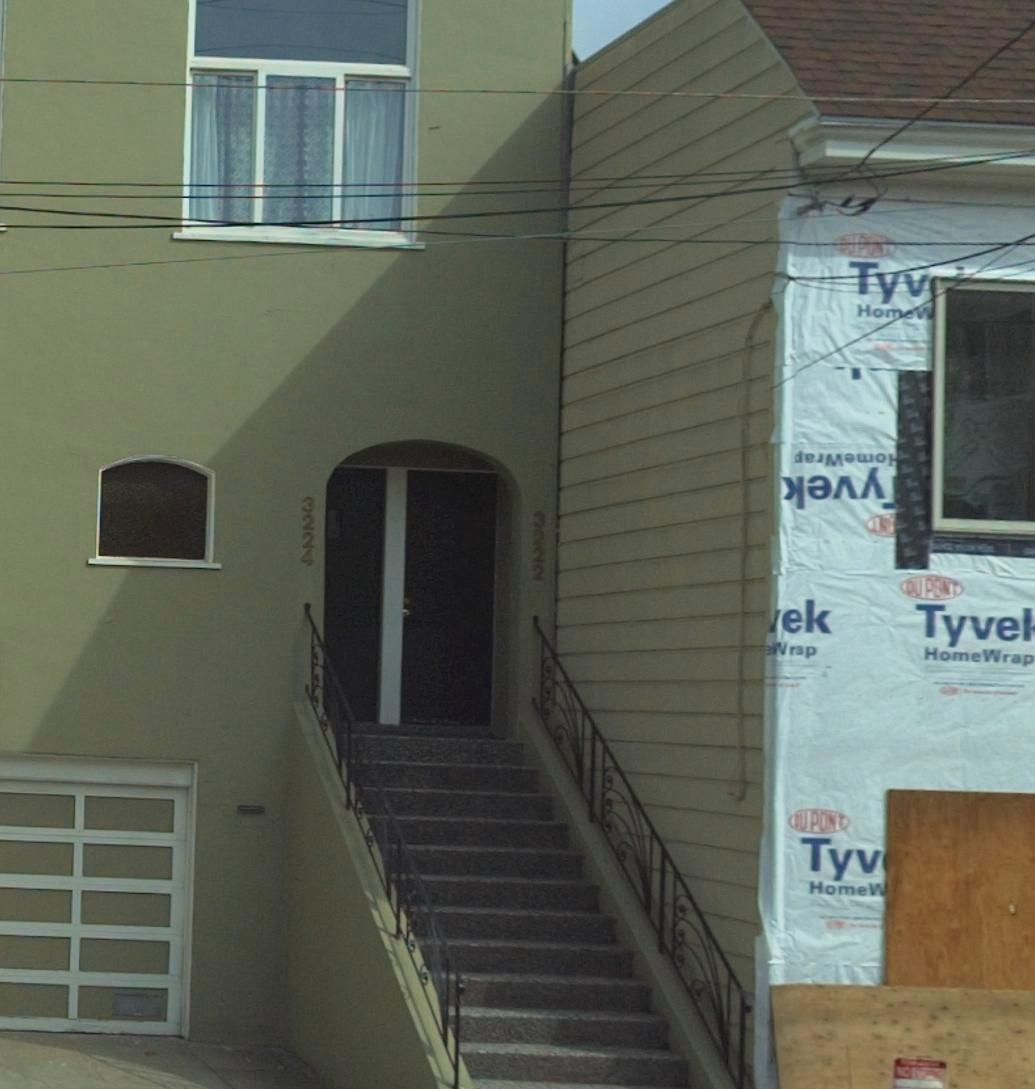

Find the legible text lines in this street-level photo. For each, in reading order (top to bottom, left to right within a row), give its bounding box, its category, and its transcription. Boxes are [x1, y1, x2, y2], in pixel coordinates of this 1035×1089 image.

[845, 260, 932, 305] None: Tyv
[855, 301, 936, 322] None: Hom* W
[789, 447, 890, 471] None: ******o
[298, 494, 317, 568] None: 3224
[529, 508, 548, 584] StreetNumber: 3222
[902, 573, 960, 601] None: OU PONT
[779, 596, 836, 637] None: ek
[910, 601, 1024, 651] None: Tyve
[787, 642, 820, 662] None: rap
[796, 809, 847, 833] None: U PON*
[796, 833, 885, 885] None: Tyv
[806, 878, 871, 898] None: Home